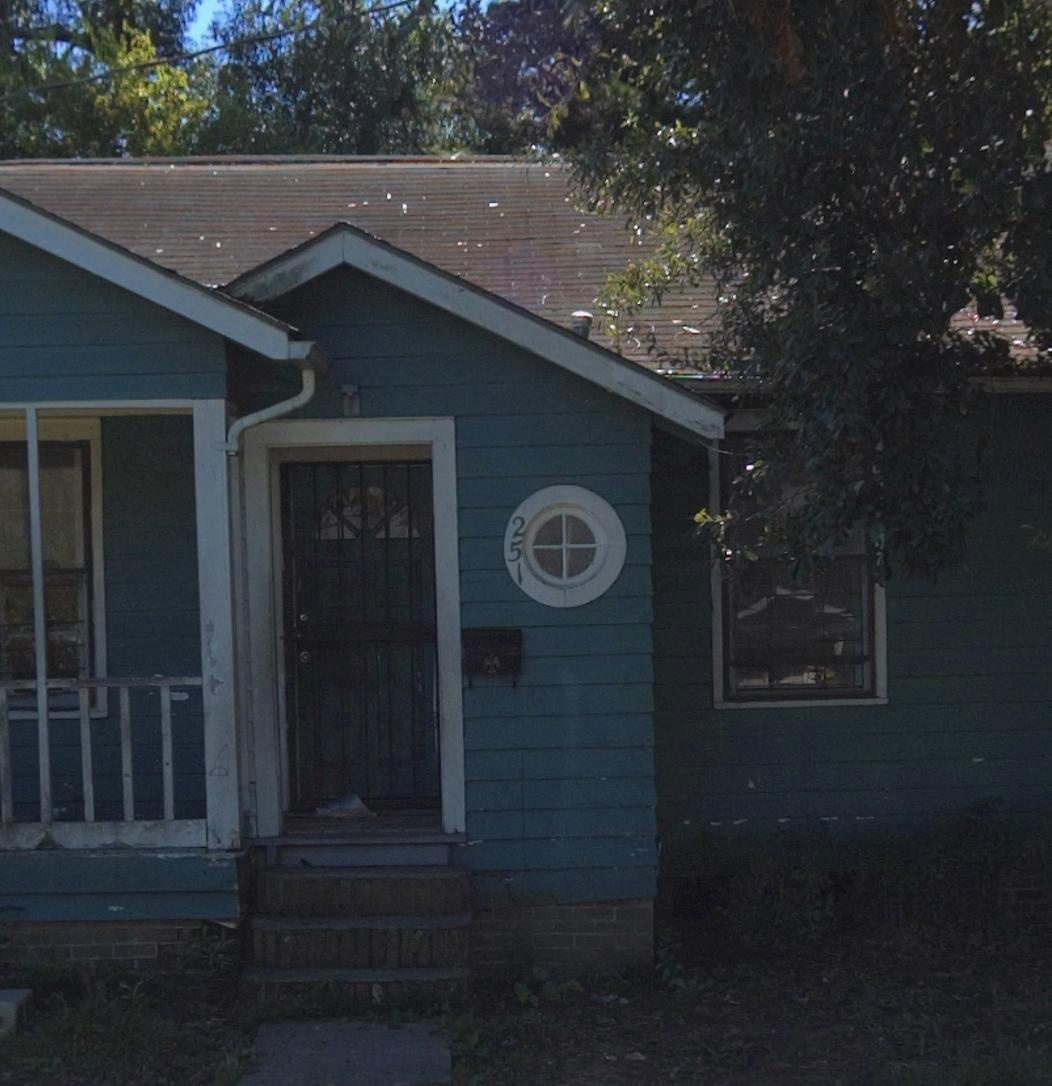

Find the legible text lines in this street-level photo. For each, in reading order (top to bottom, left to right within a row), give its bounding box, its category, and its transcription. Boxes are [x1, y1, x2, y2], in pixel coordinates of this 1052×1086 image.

[507, 514, 526, 586] StreetNumber: 251